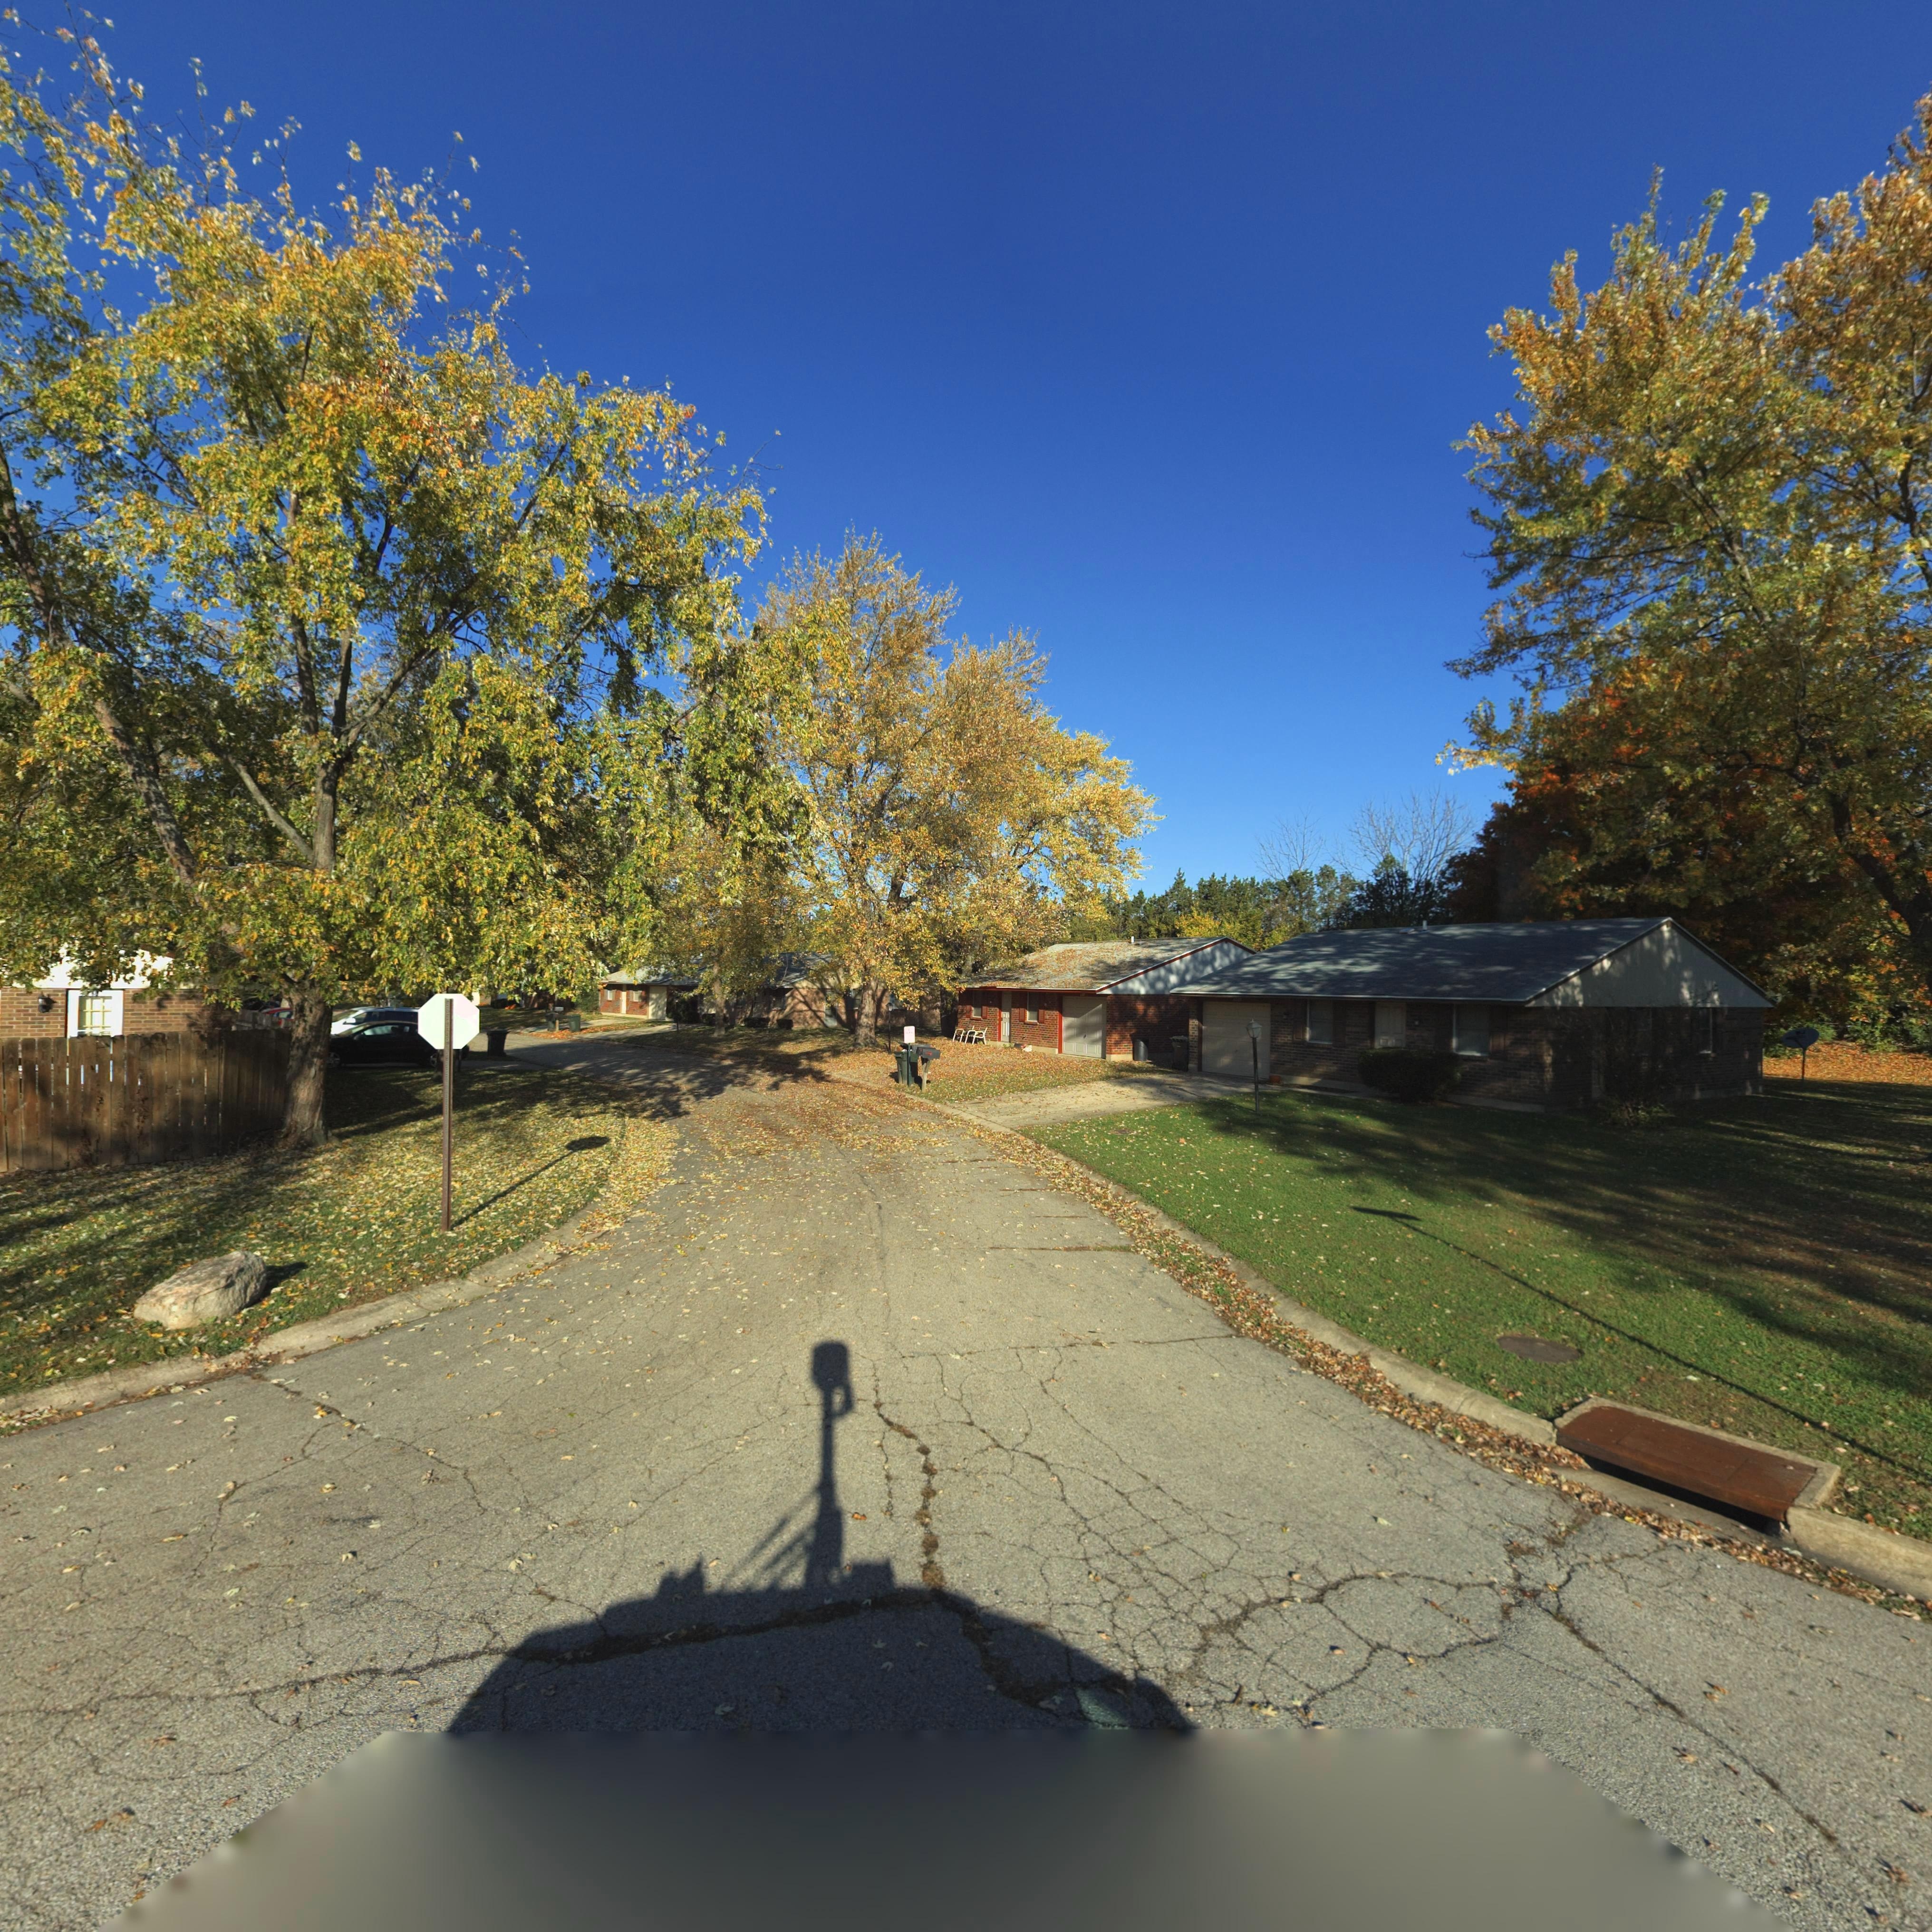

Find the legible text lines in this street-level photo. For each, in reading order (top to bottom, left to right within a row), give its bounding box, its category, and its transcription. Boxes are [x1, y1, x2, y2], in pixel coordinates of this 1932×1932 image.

[1232, 998, 1242, 1002] StreetNumber: 82*7